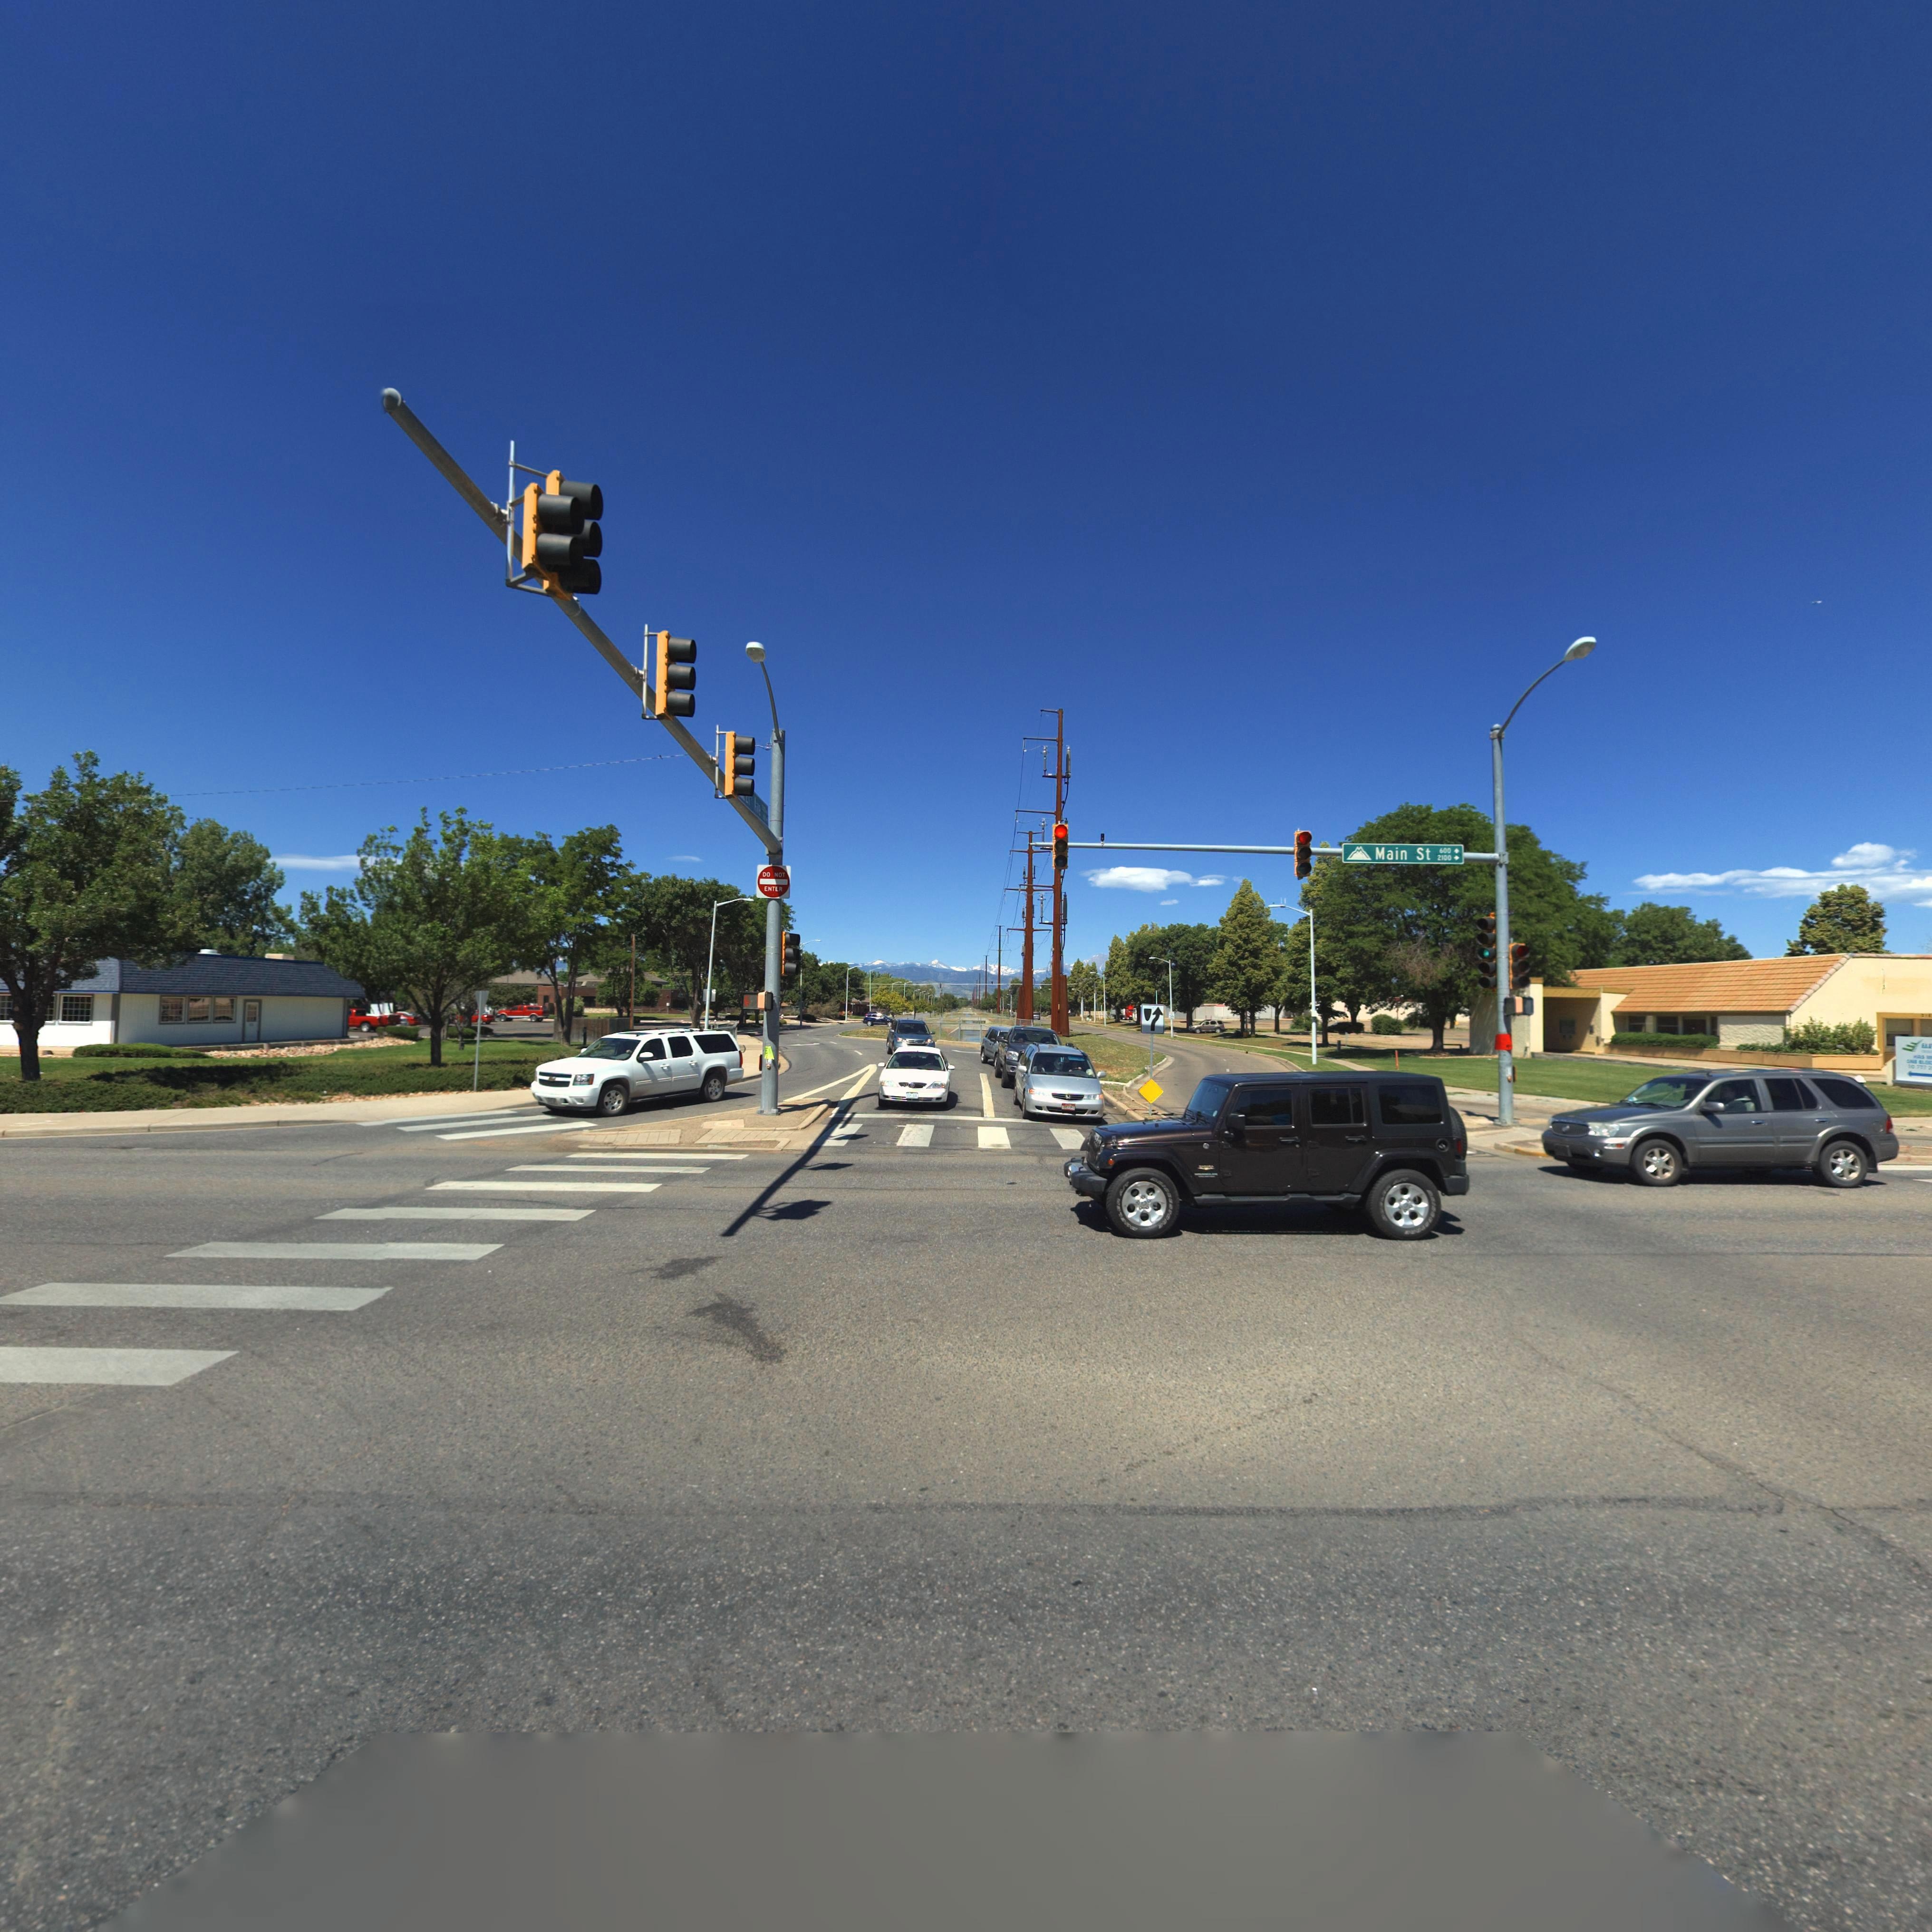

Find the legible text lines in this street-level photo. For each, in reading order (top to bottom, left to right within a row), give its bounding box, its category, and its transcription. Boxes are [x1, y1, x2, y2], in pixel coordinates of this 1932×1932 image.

[753, 795, 761, 817] StreetName: Ave
[1375, 846, 1431, 860] StreetName: Main St
[1439, 847, 1451, 853] StreetNumberRange: 600
[1437, 854, 1460, 860] StreetNumberRange: 2100->
[1920, 1013, 1931, 1017] StreetNumber: 21*
[1921, 1043, 1928, 1049] BusinessName: EL